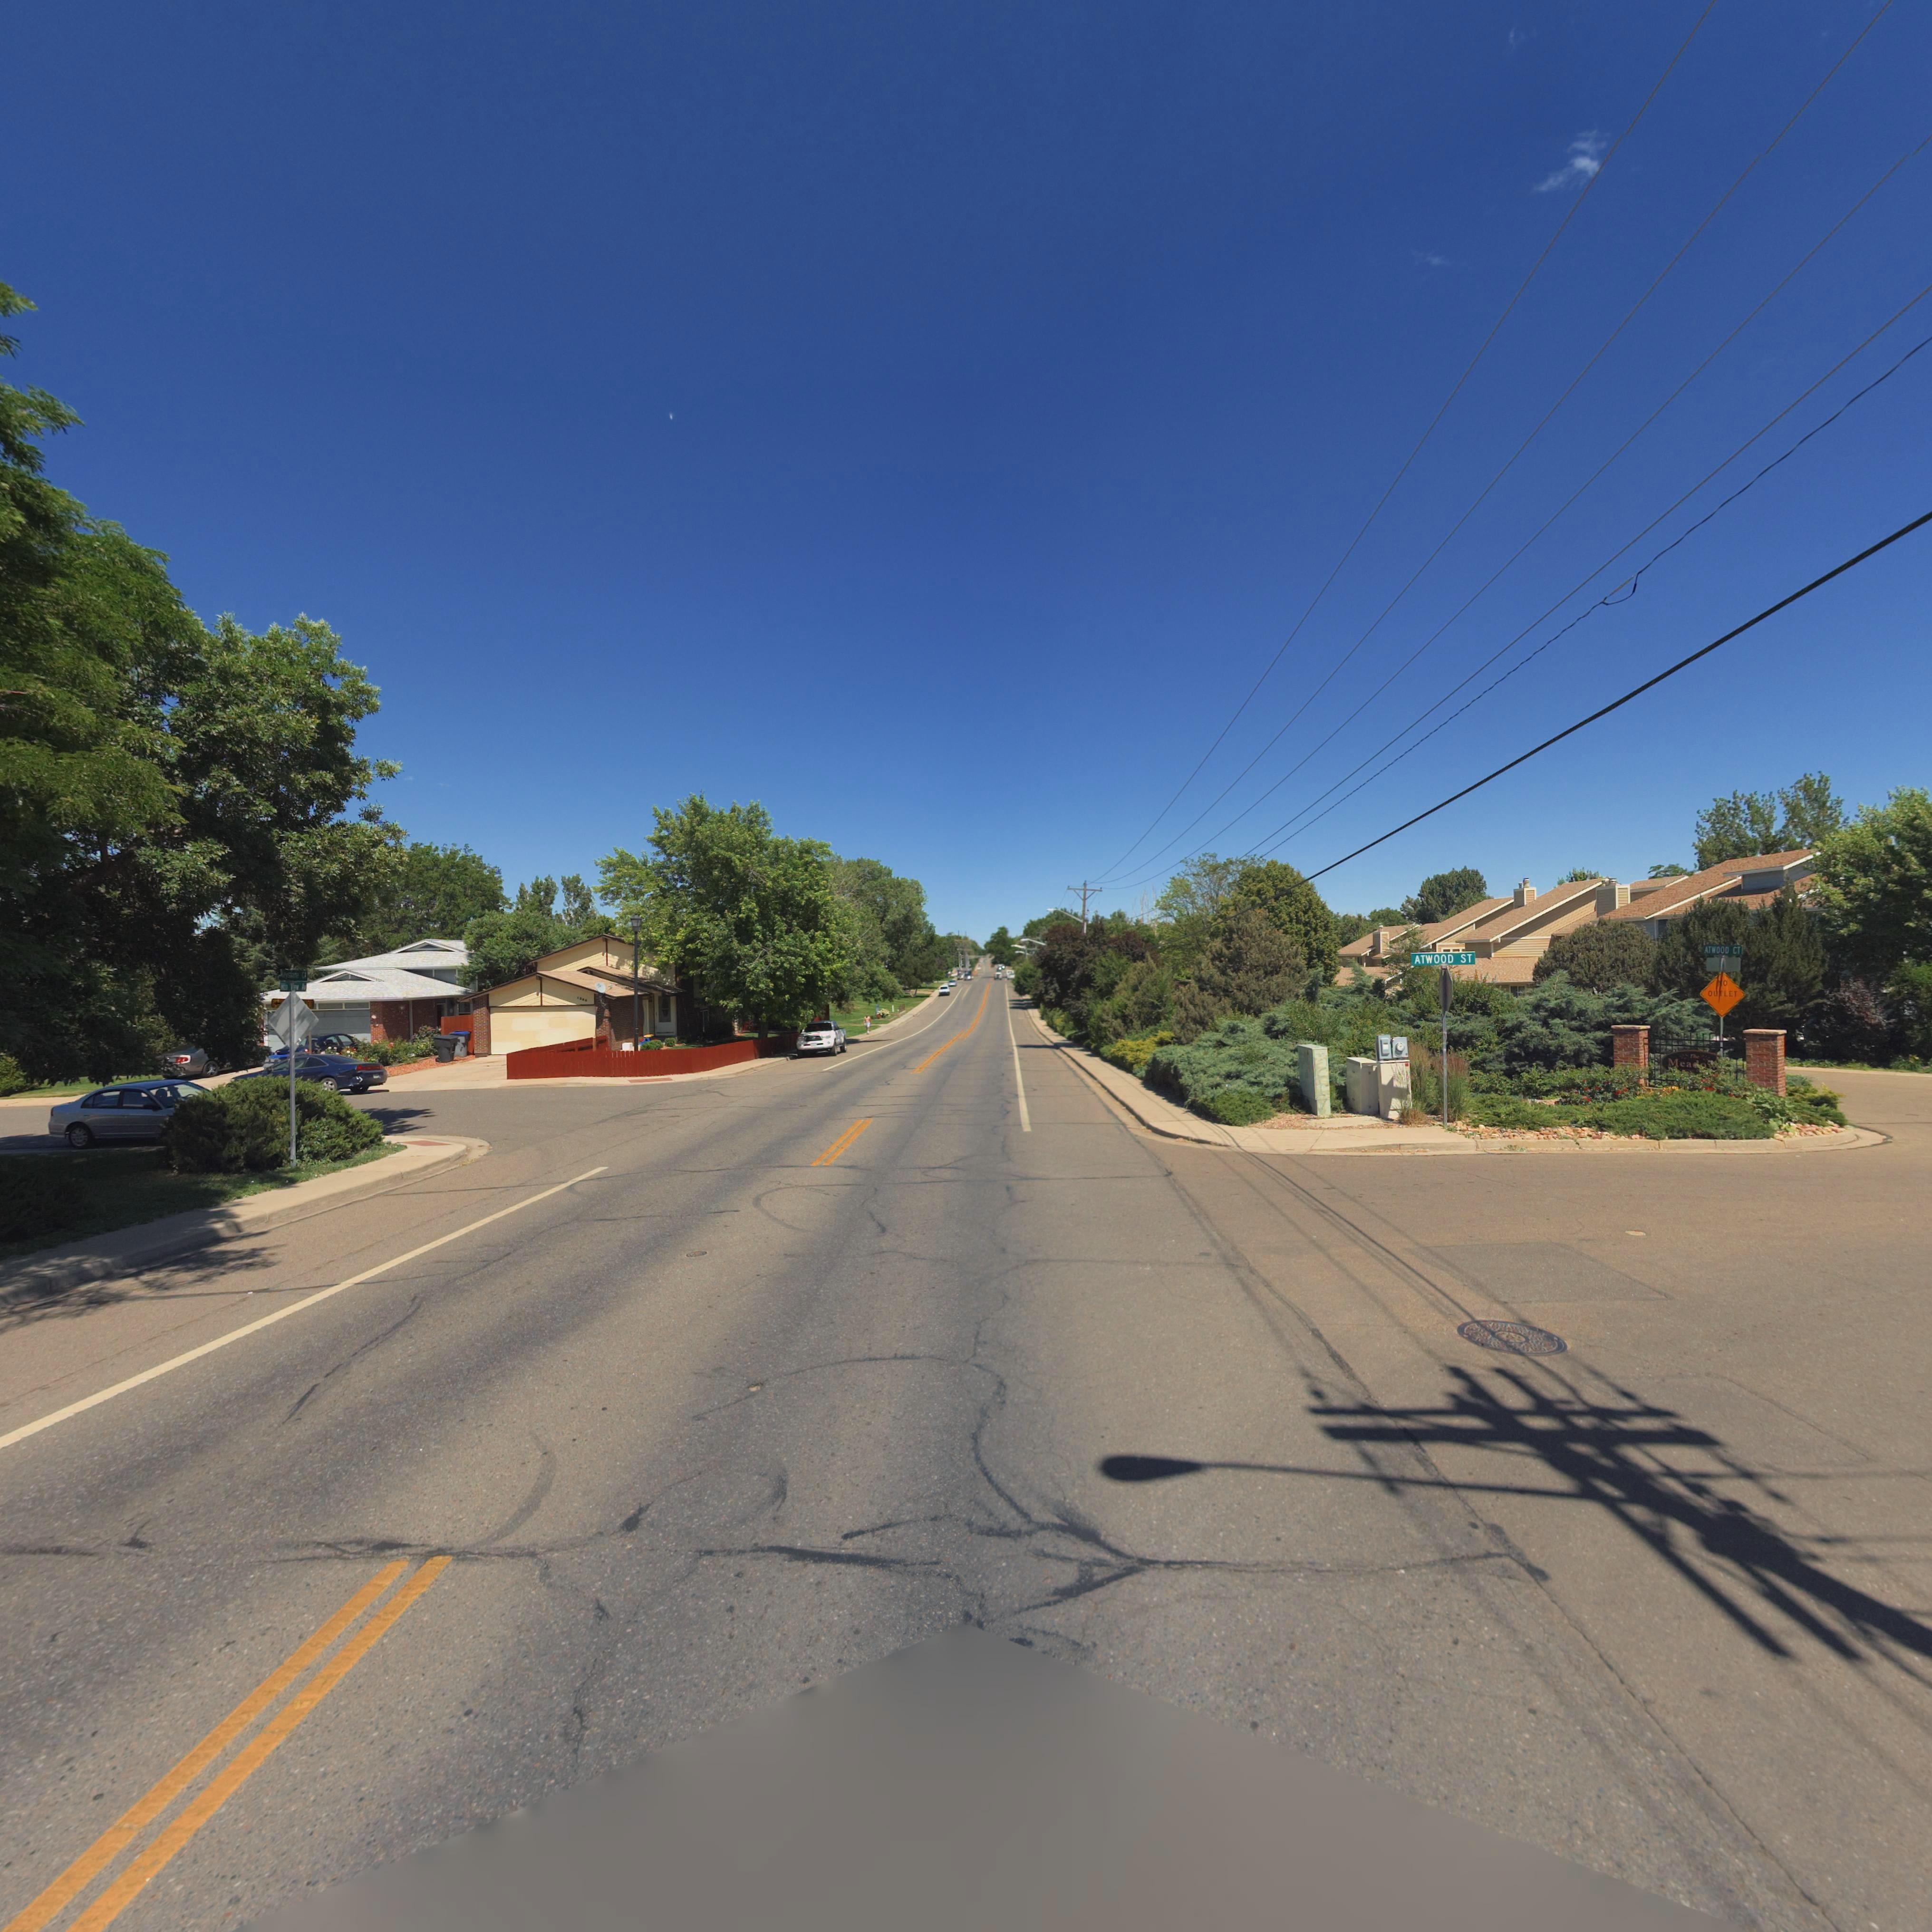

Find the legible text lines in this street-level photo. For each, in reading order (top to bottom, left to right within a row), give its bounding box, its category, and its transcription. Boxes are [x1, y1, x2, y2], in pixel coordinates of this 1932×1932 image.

[1704, 946, 1741, 954] StreetName: ATWOOD CT
[1414, 953, 1472, 964] StreetName: ATWOOD ST
[280, 970, 307, 979] StreetName: Keystone Ct
[280, 982, 307, 991] StreetName: Mtn View Av
[577, 996, 588, 1002] StreetNumber: 1306